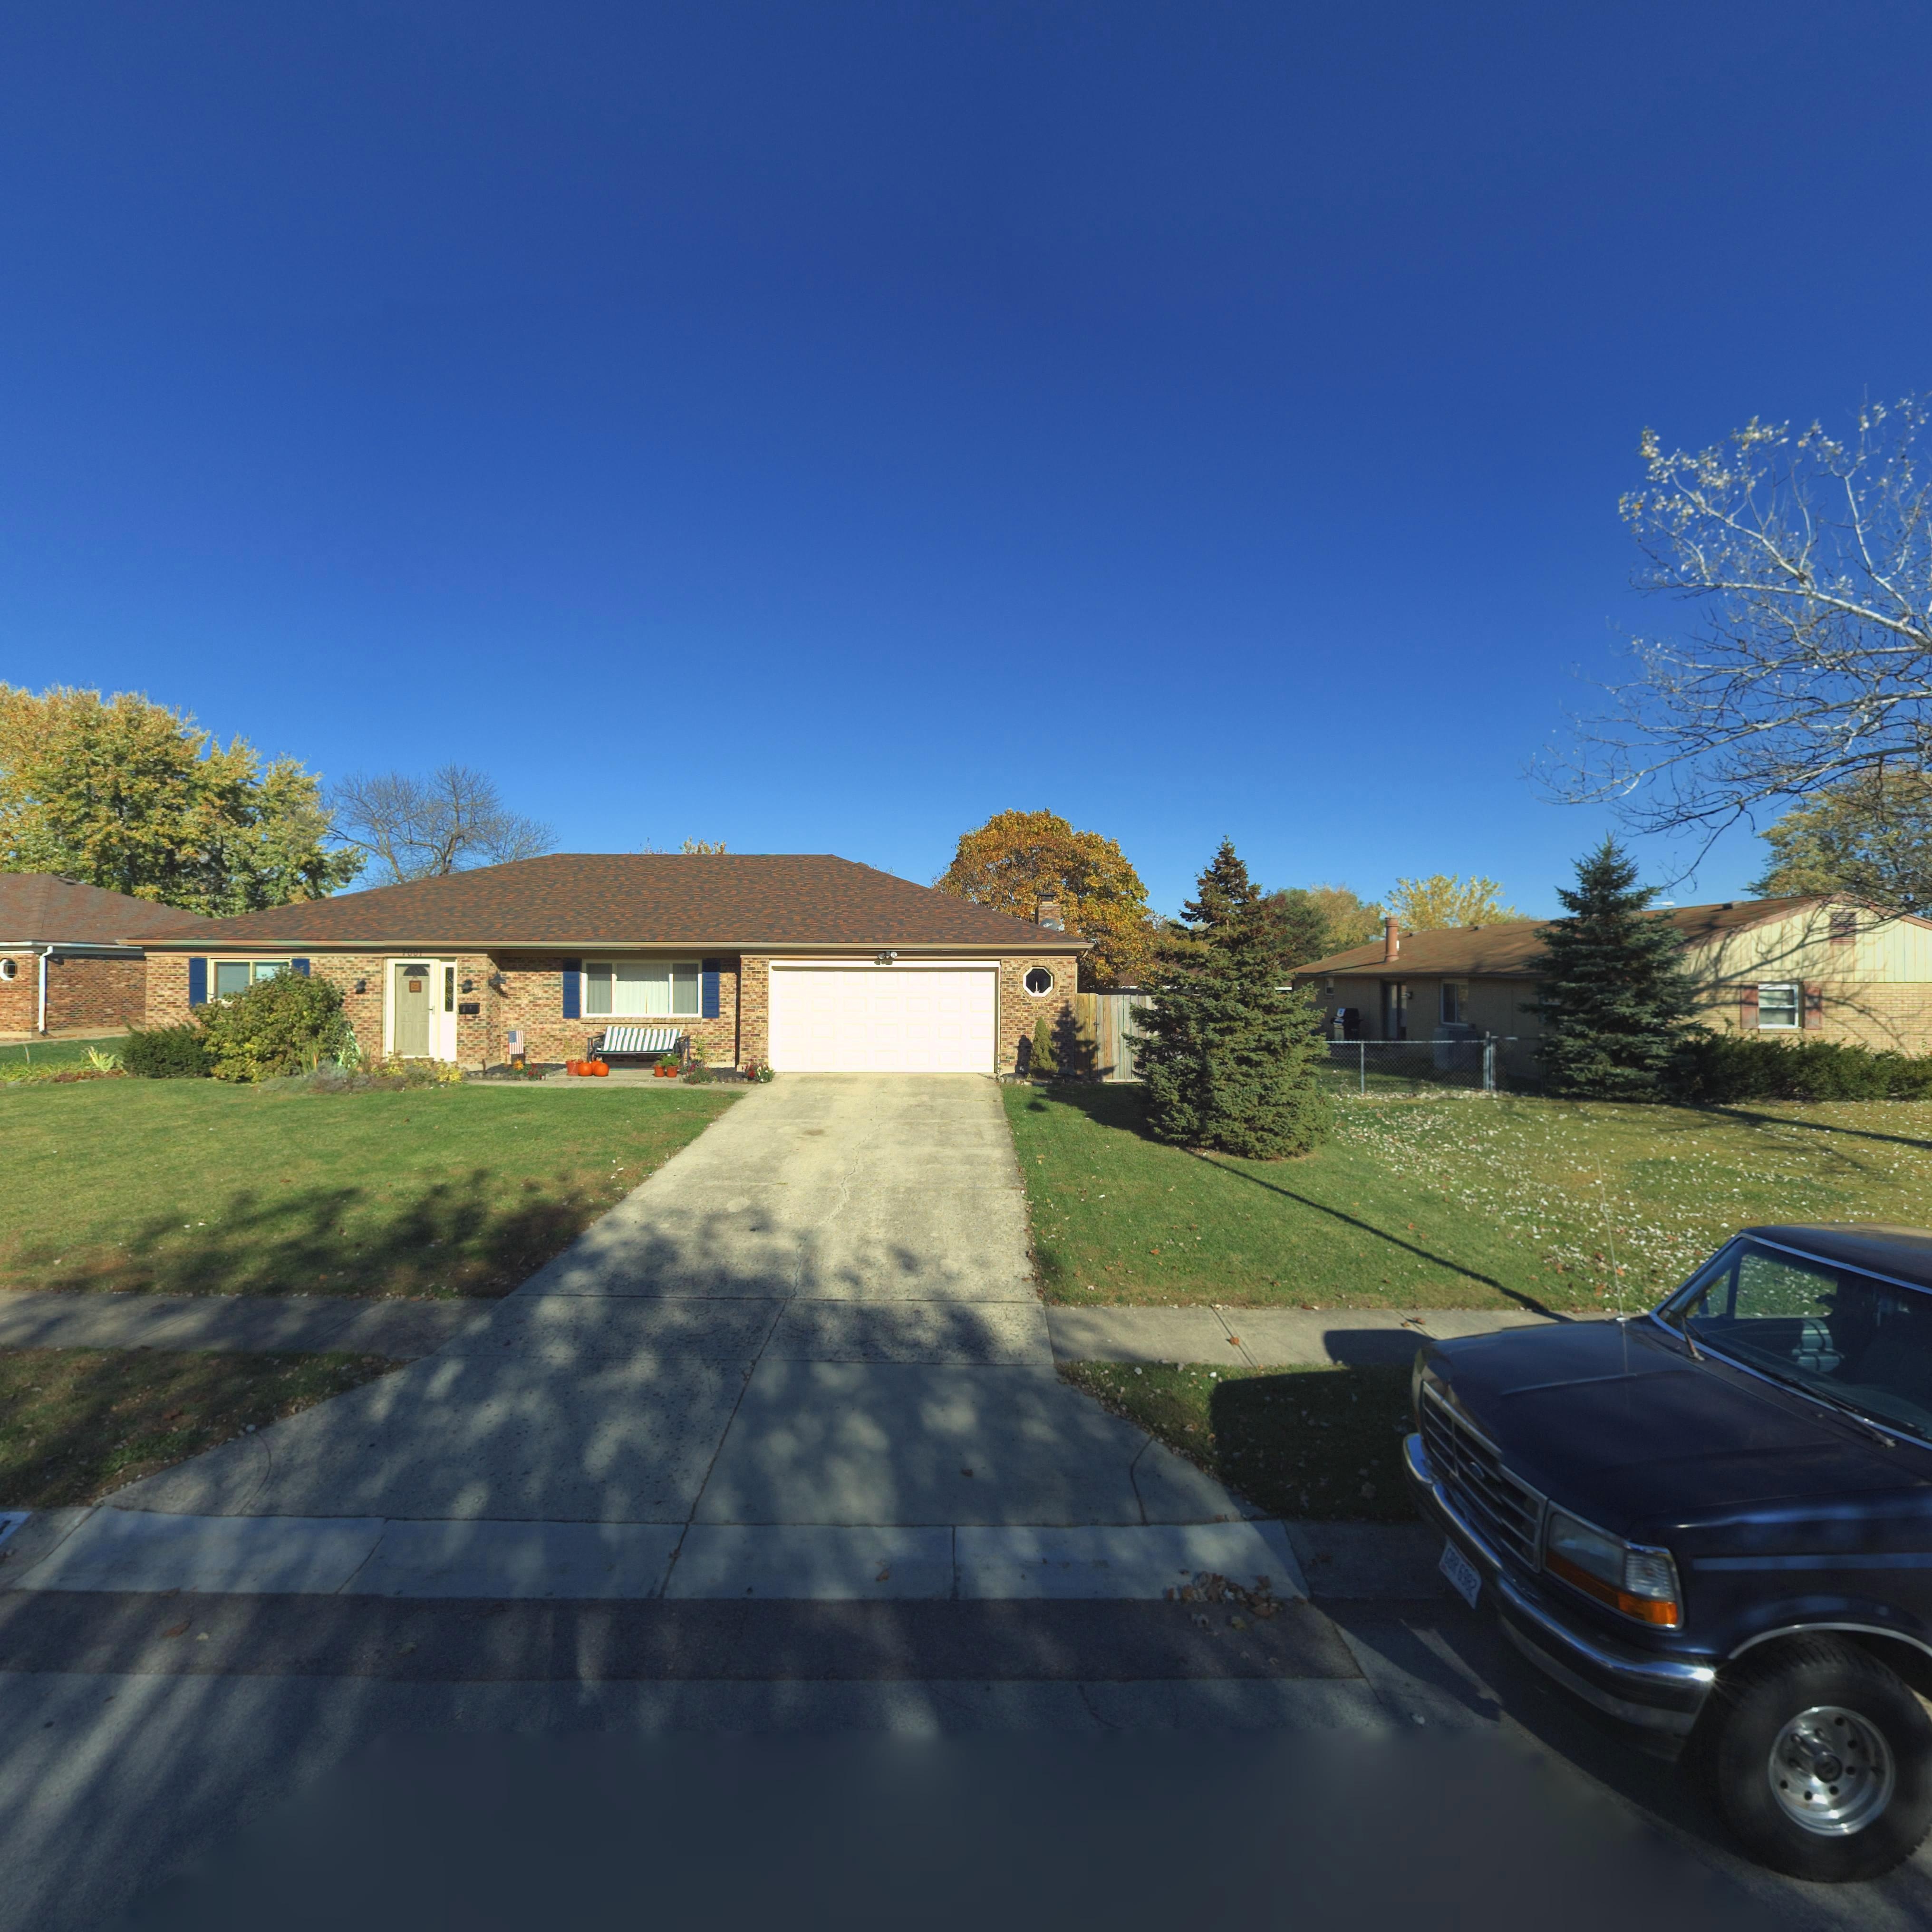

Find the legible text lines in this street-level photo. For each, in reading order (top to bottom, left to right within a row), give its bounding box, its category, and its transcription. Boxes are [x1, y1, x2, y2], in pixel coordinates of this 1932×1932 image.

[401, 948, 423, 957] StreetNumber: 7001